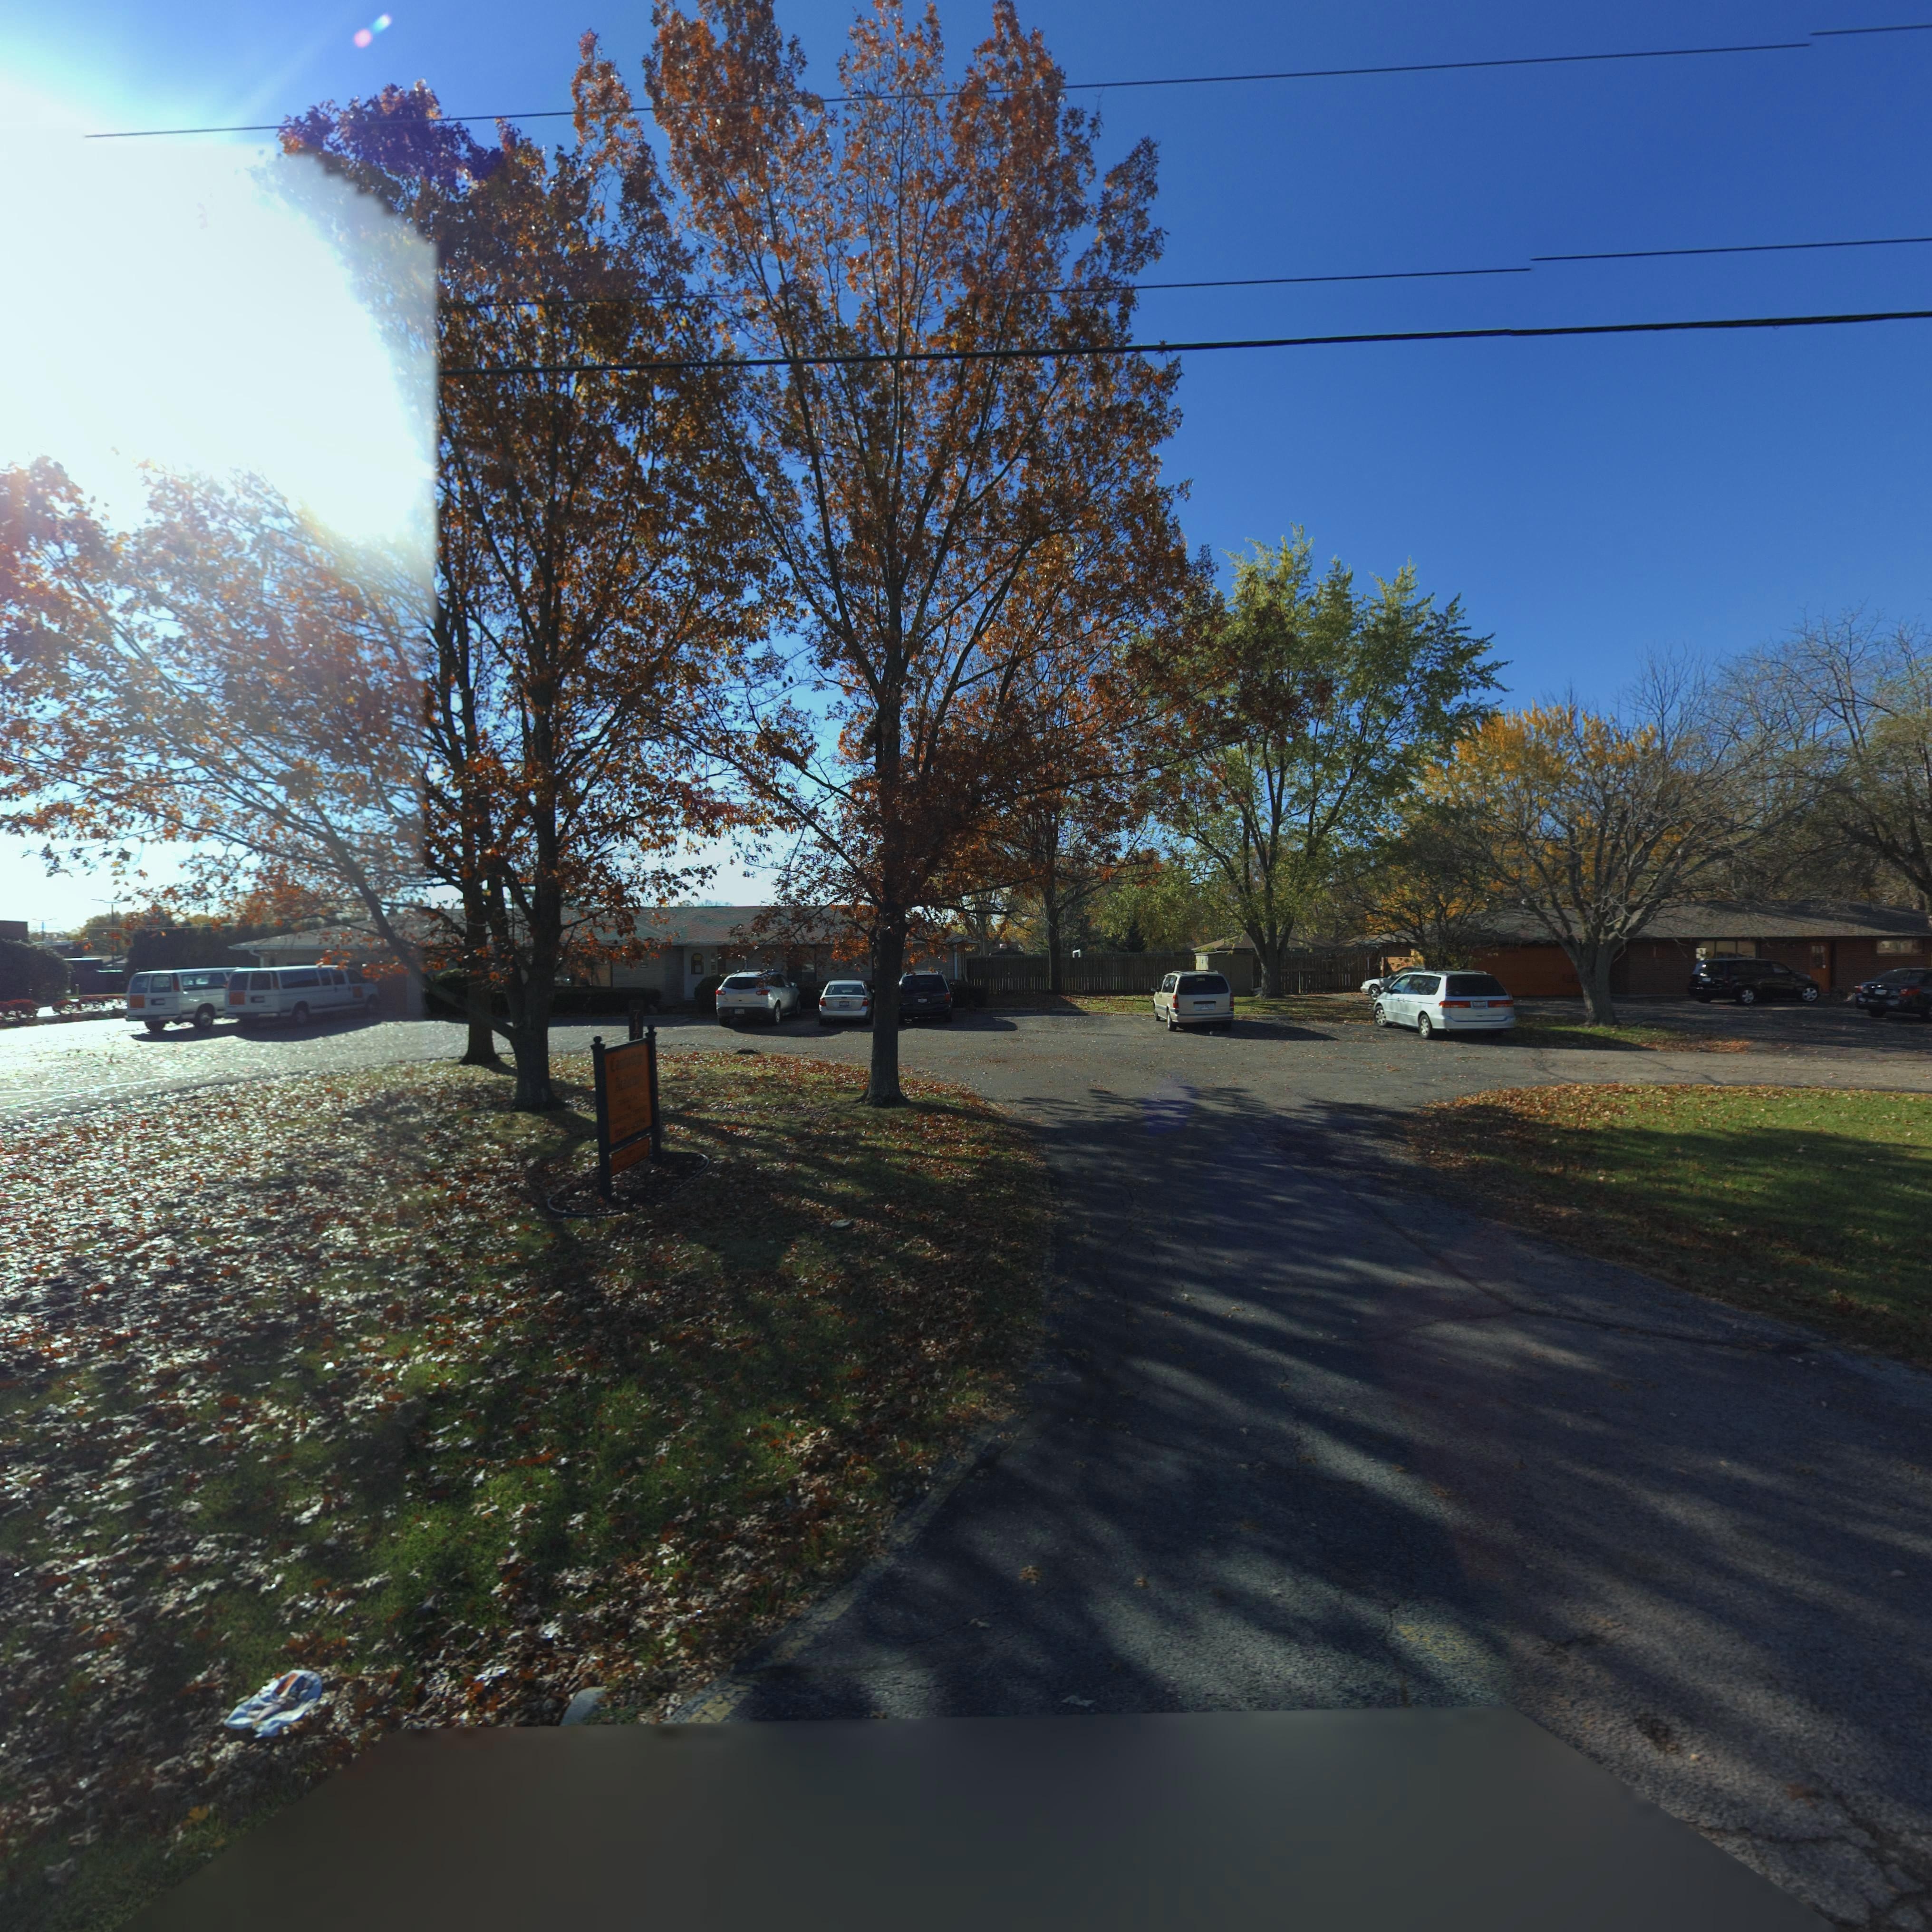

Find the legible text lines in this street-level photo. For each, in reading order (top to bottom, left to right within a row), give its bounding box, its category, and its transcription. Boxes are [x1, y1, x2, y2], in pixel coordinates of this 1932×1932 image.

[632, 1008, 642, 1041] StreetNumber: 717
[609, 1055, 617, 1073] BusinessName: C
[613, 1076, 621, 1094] BusinessName: A